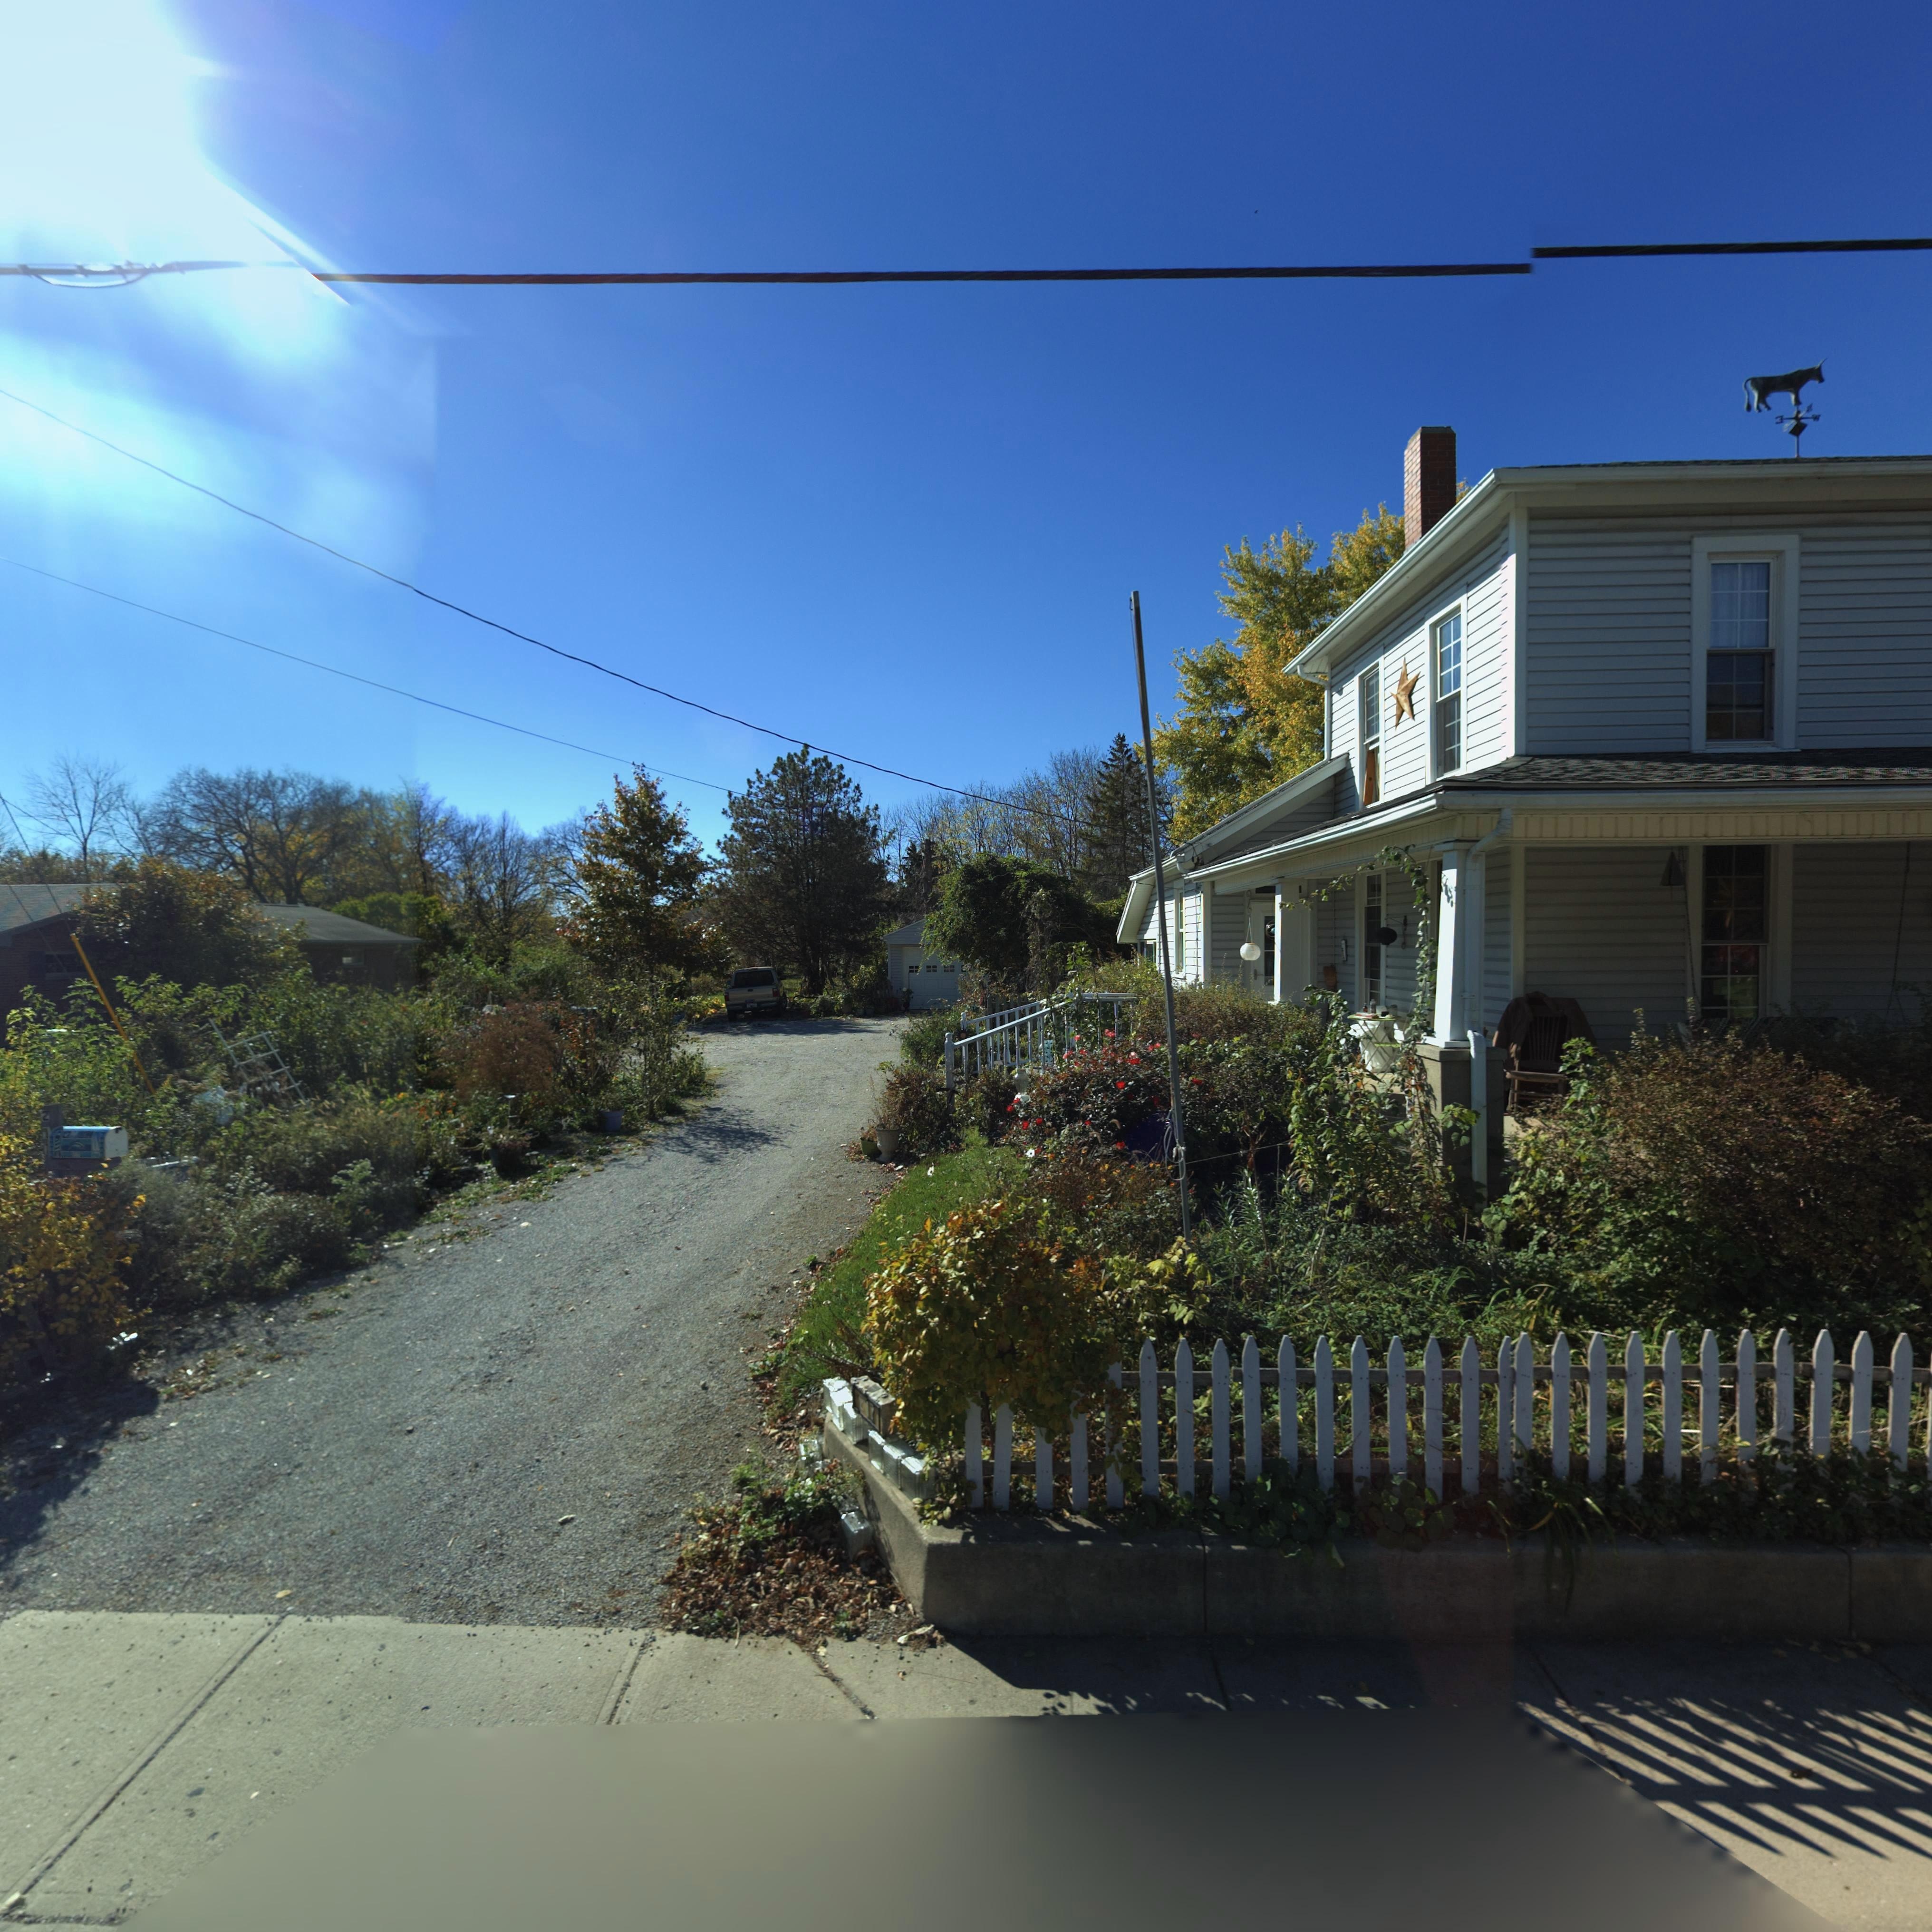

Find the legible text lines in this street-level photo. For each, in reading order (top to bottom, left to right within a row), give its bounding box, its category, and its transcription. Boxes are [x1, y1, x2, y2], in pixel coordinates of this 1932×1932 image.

[859, 1393, 876, 1425] StreetNumber: 217